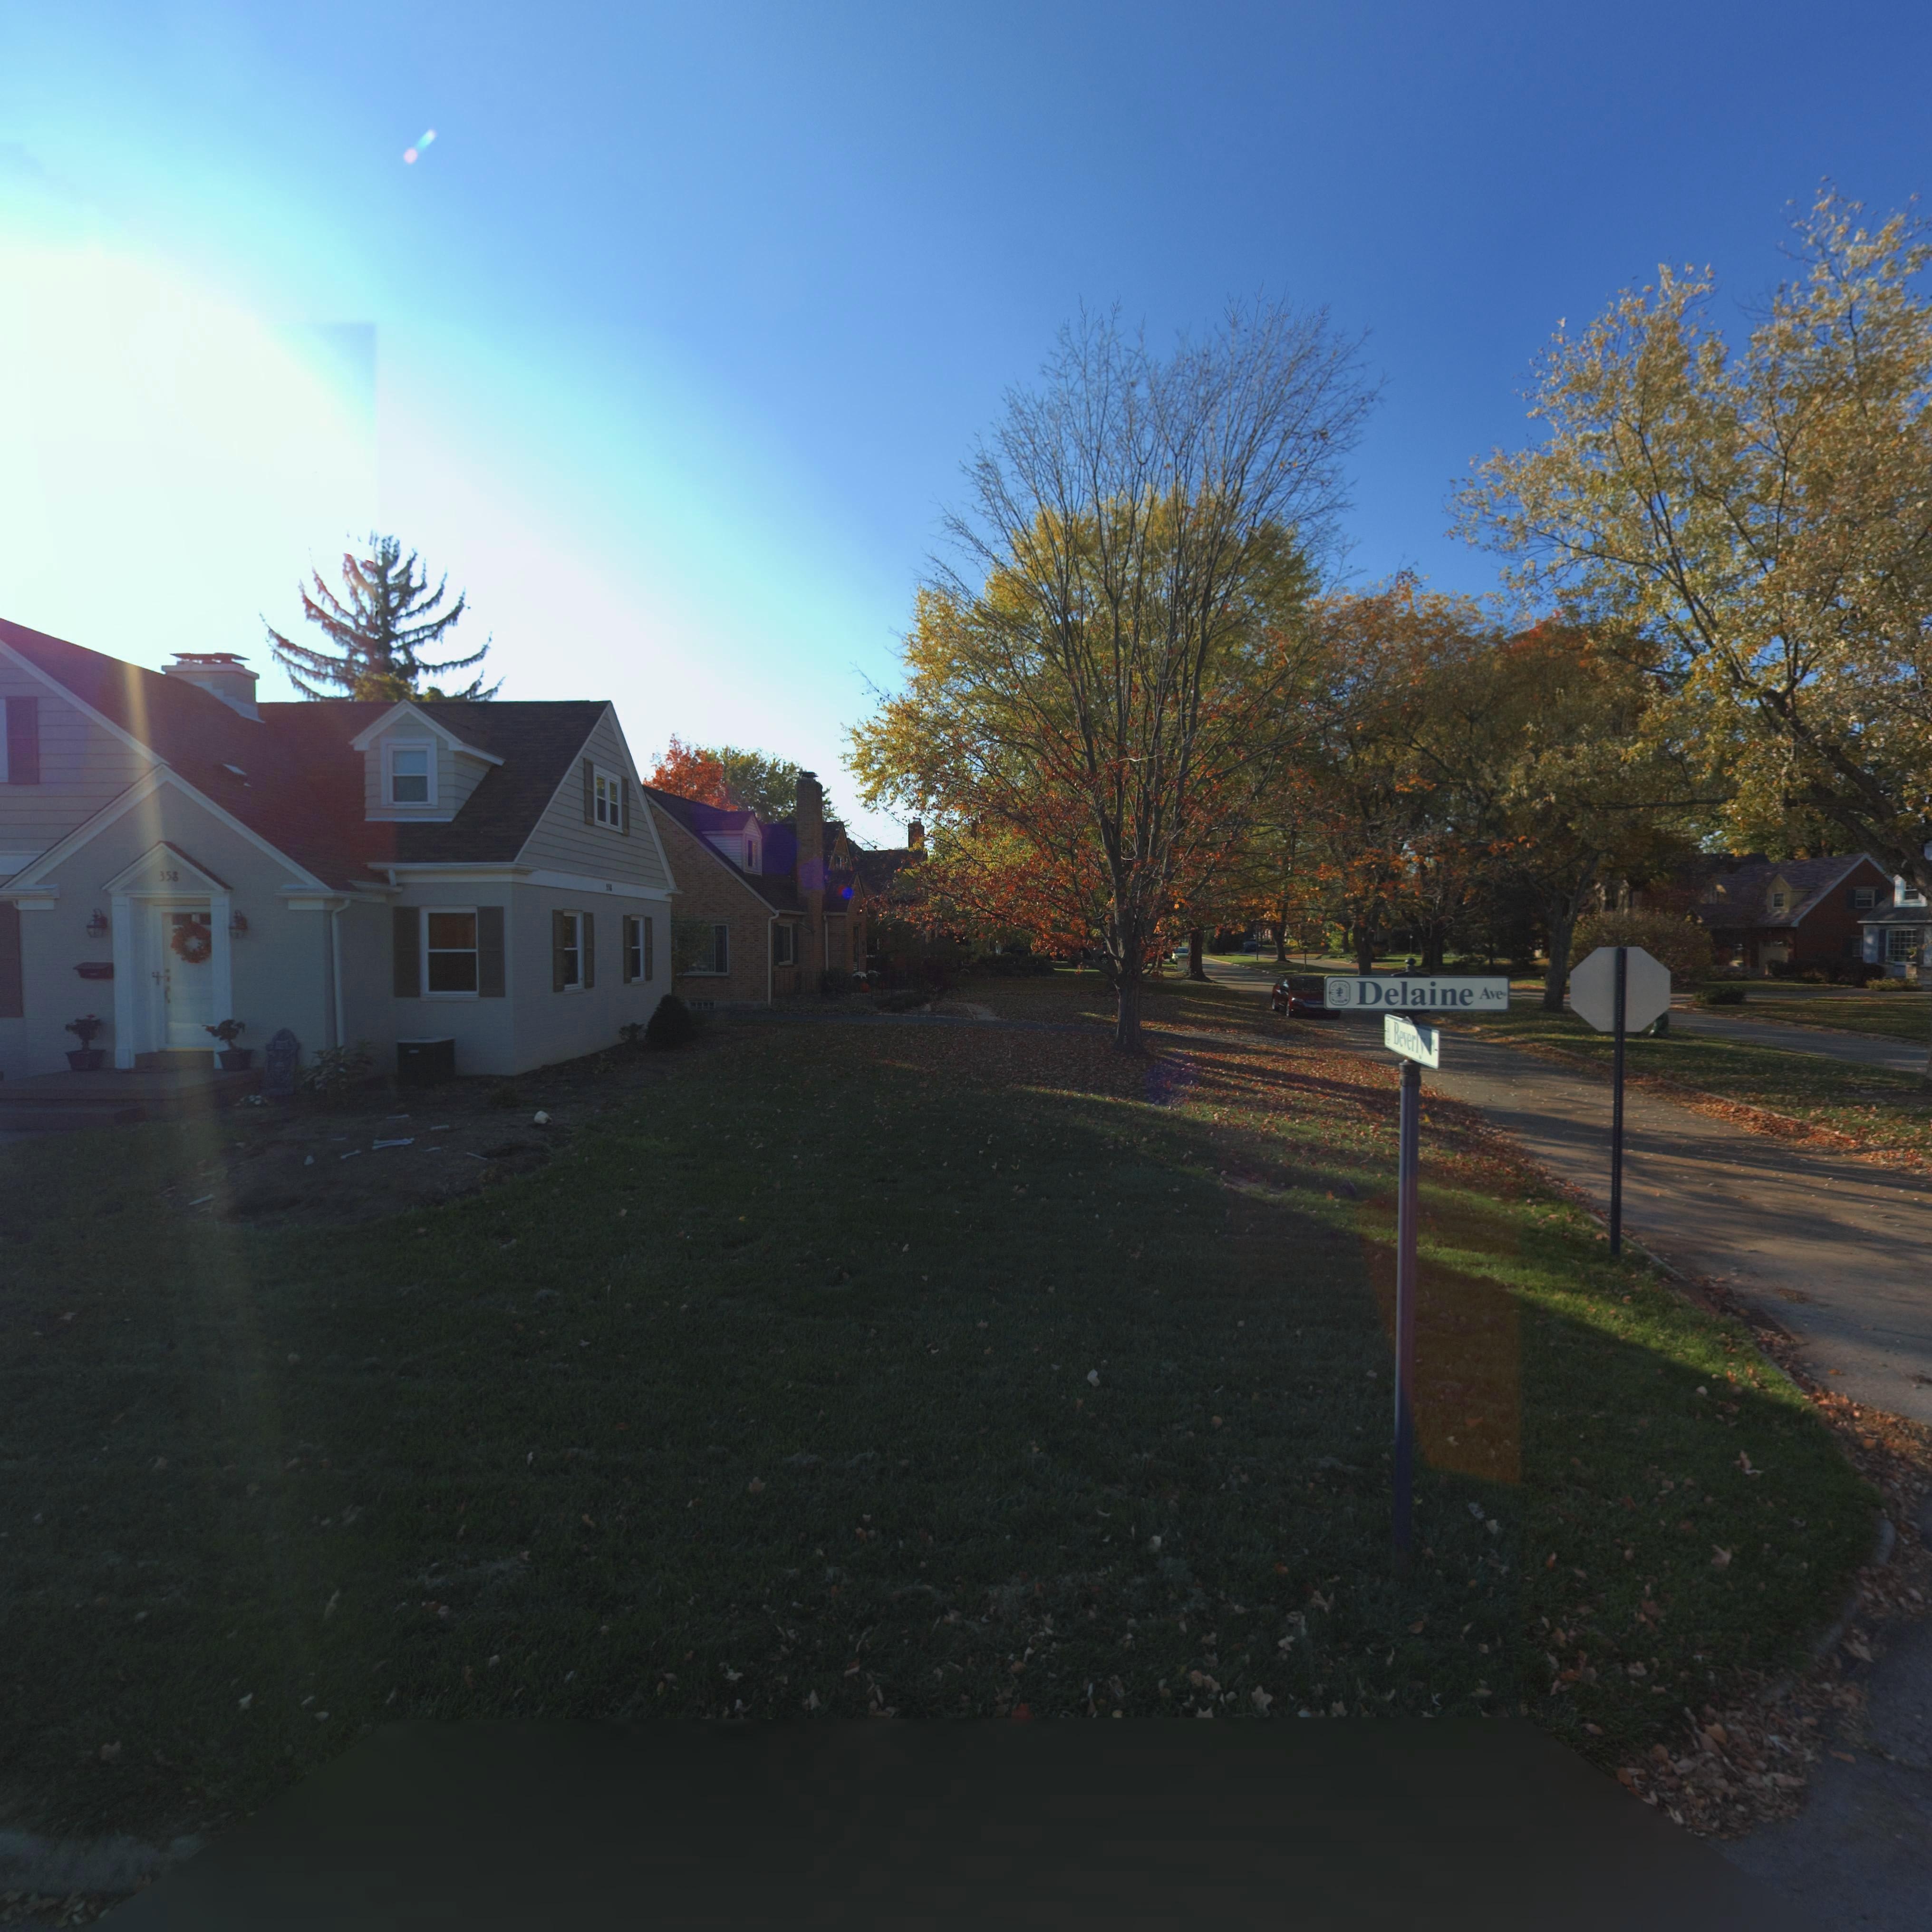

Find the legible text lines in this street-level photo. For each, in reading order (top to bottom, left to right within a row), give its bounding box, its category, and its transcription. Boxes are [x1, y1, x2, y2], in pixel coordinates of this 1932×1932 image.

[158, 870, 178, 881] StreetNumber: 358
[1354, 980, 1504, 1007] StreetName: Delaine Ave
[1393, 1020, 1437, 1061] StreetName: Beverly Pl